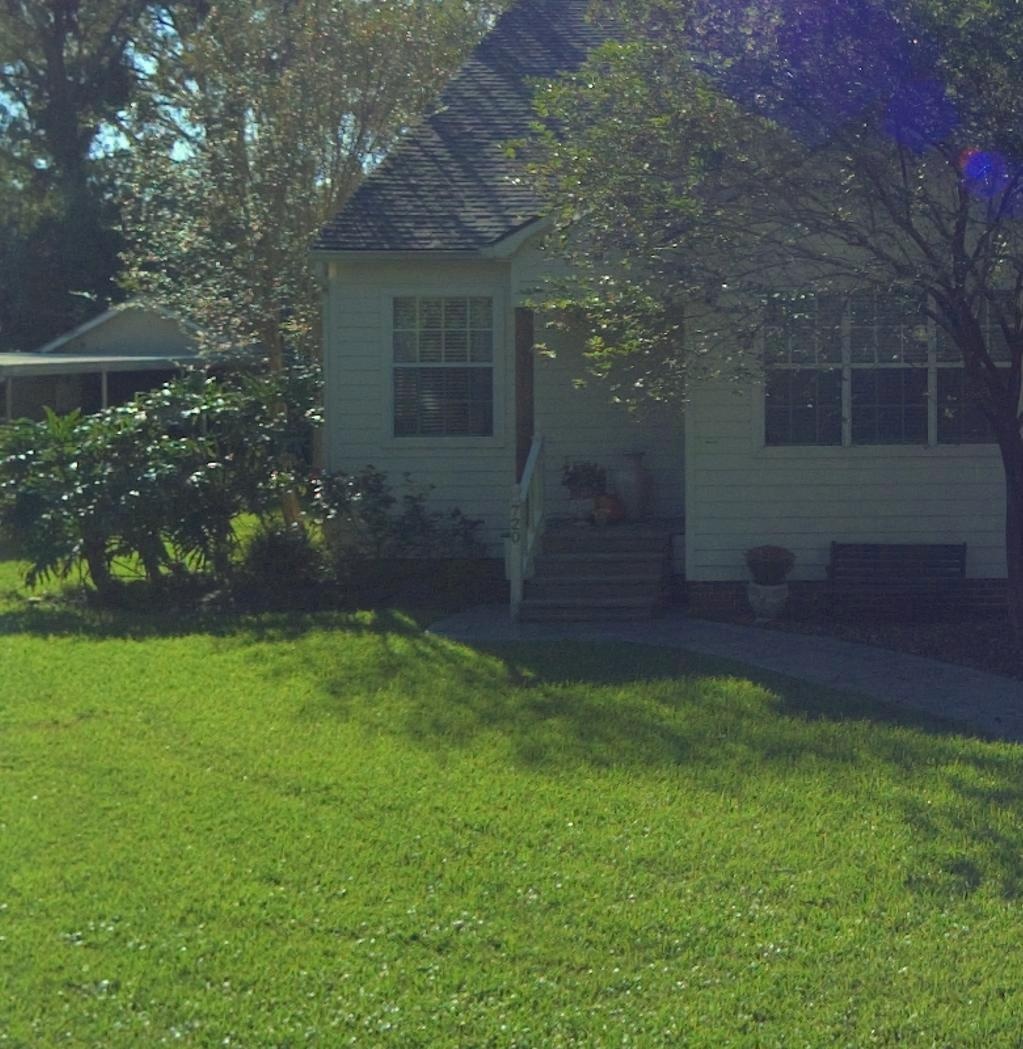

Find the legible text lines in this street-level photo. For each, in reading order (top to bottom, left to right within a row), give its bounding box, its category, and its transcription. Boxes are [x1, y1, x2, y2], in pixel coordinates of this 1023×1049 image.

[510, 503, 521, 545] StreetNumber: 720